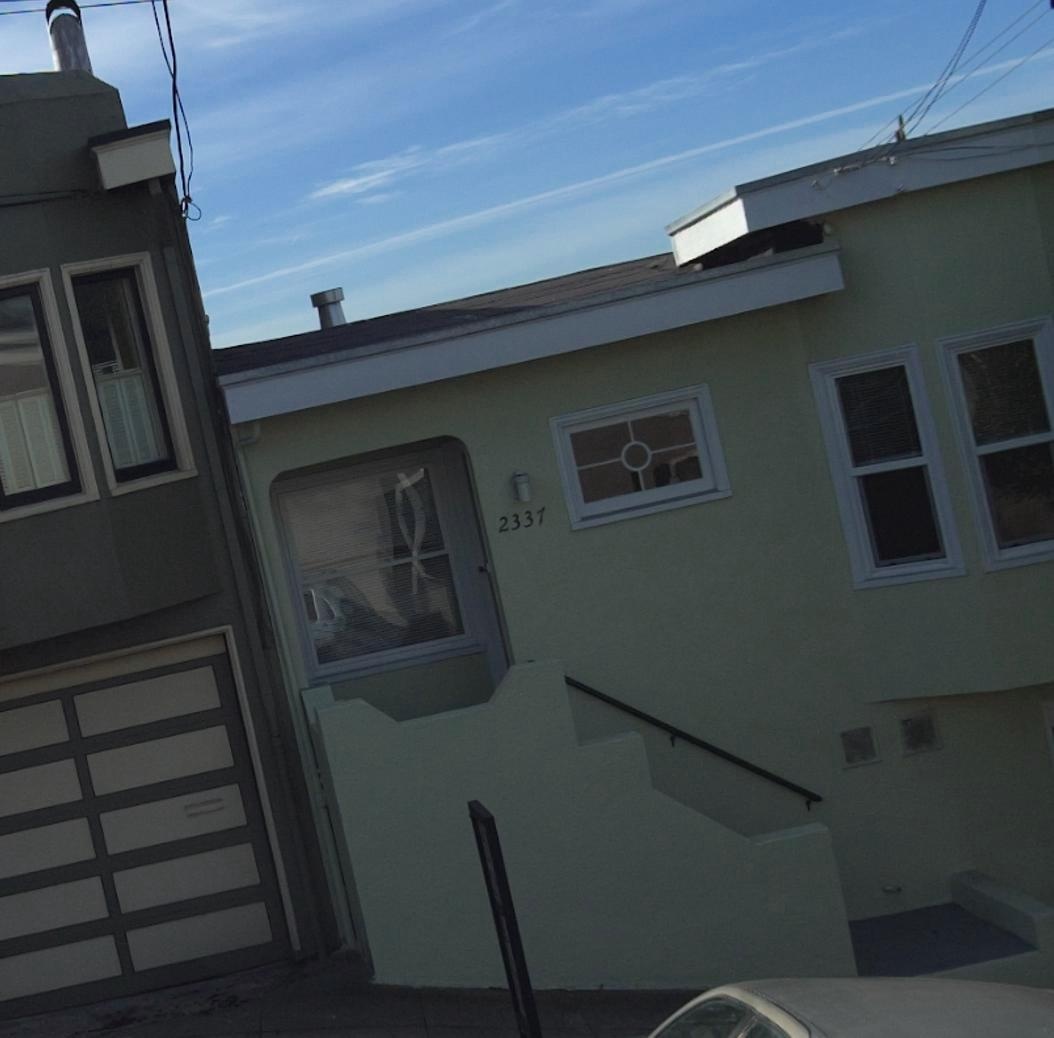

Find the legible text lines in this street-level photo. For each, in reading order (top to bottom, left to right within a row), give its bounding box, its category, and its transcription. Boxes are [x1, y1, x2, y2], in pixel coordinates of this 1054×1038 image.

[498, 504, 547, 535] StreetNumber: 2337